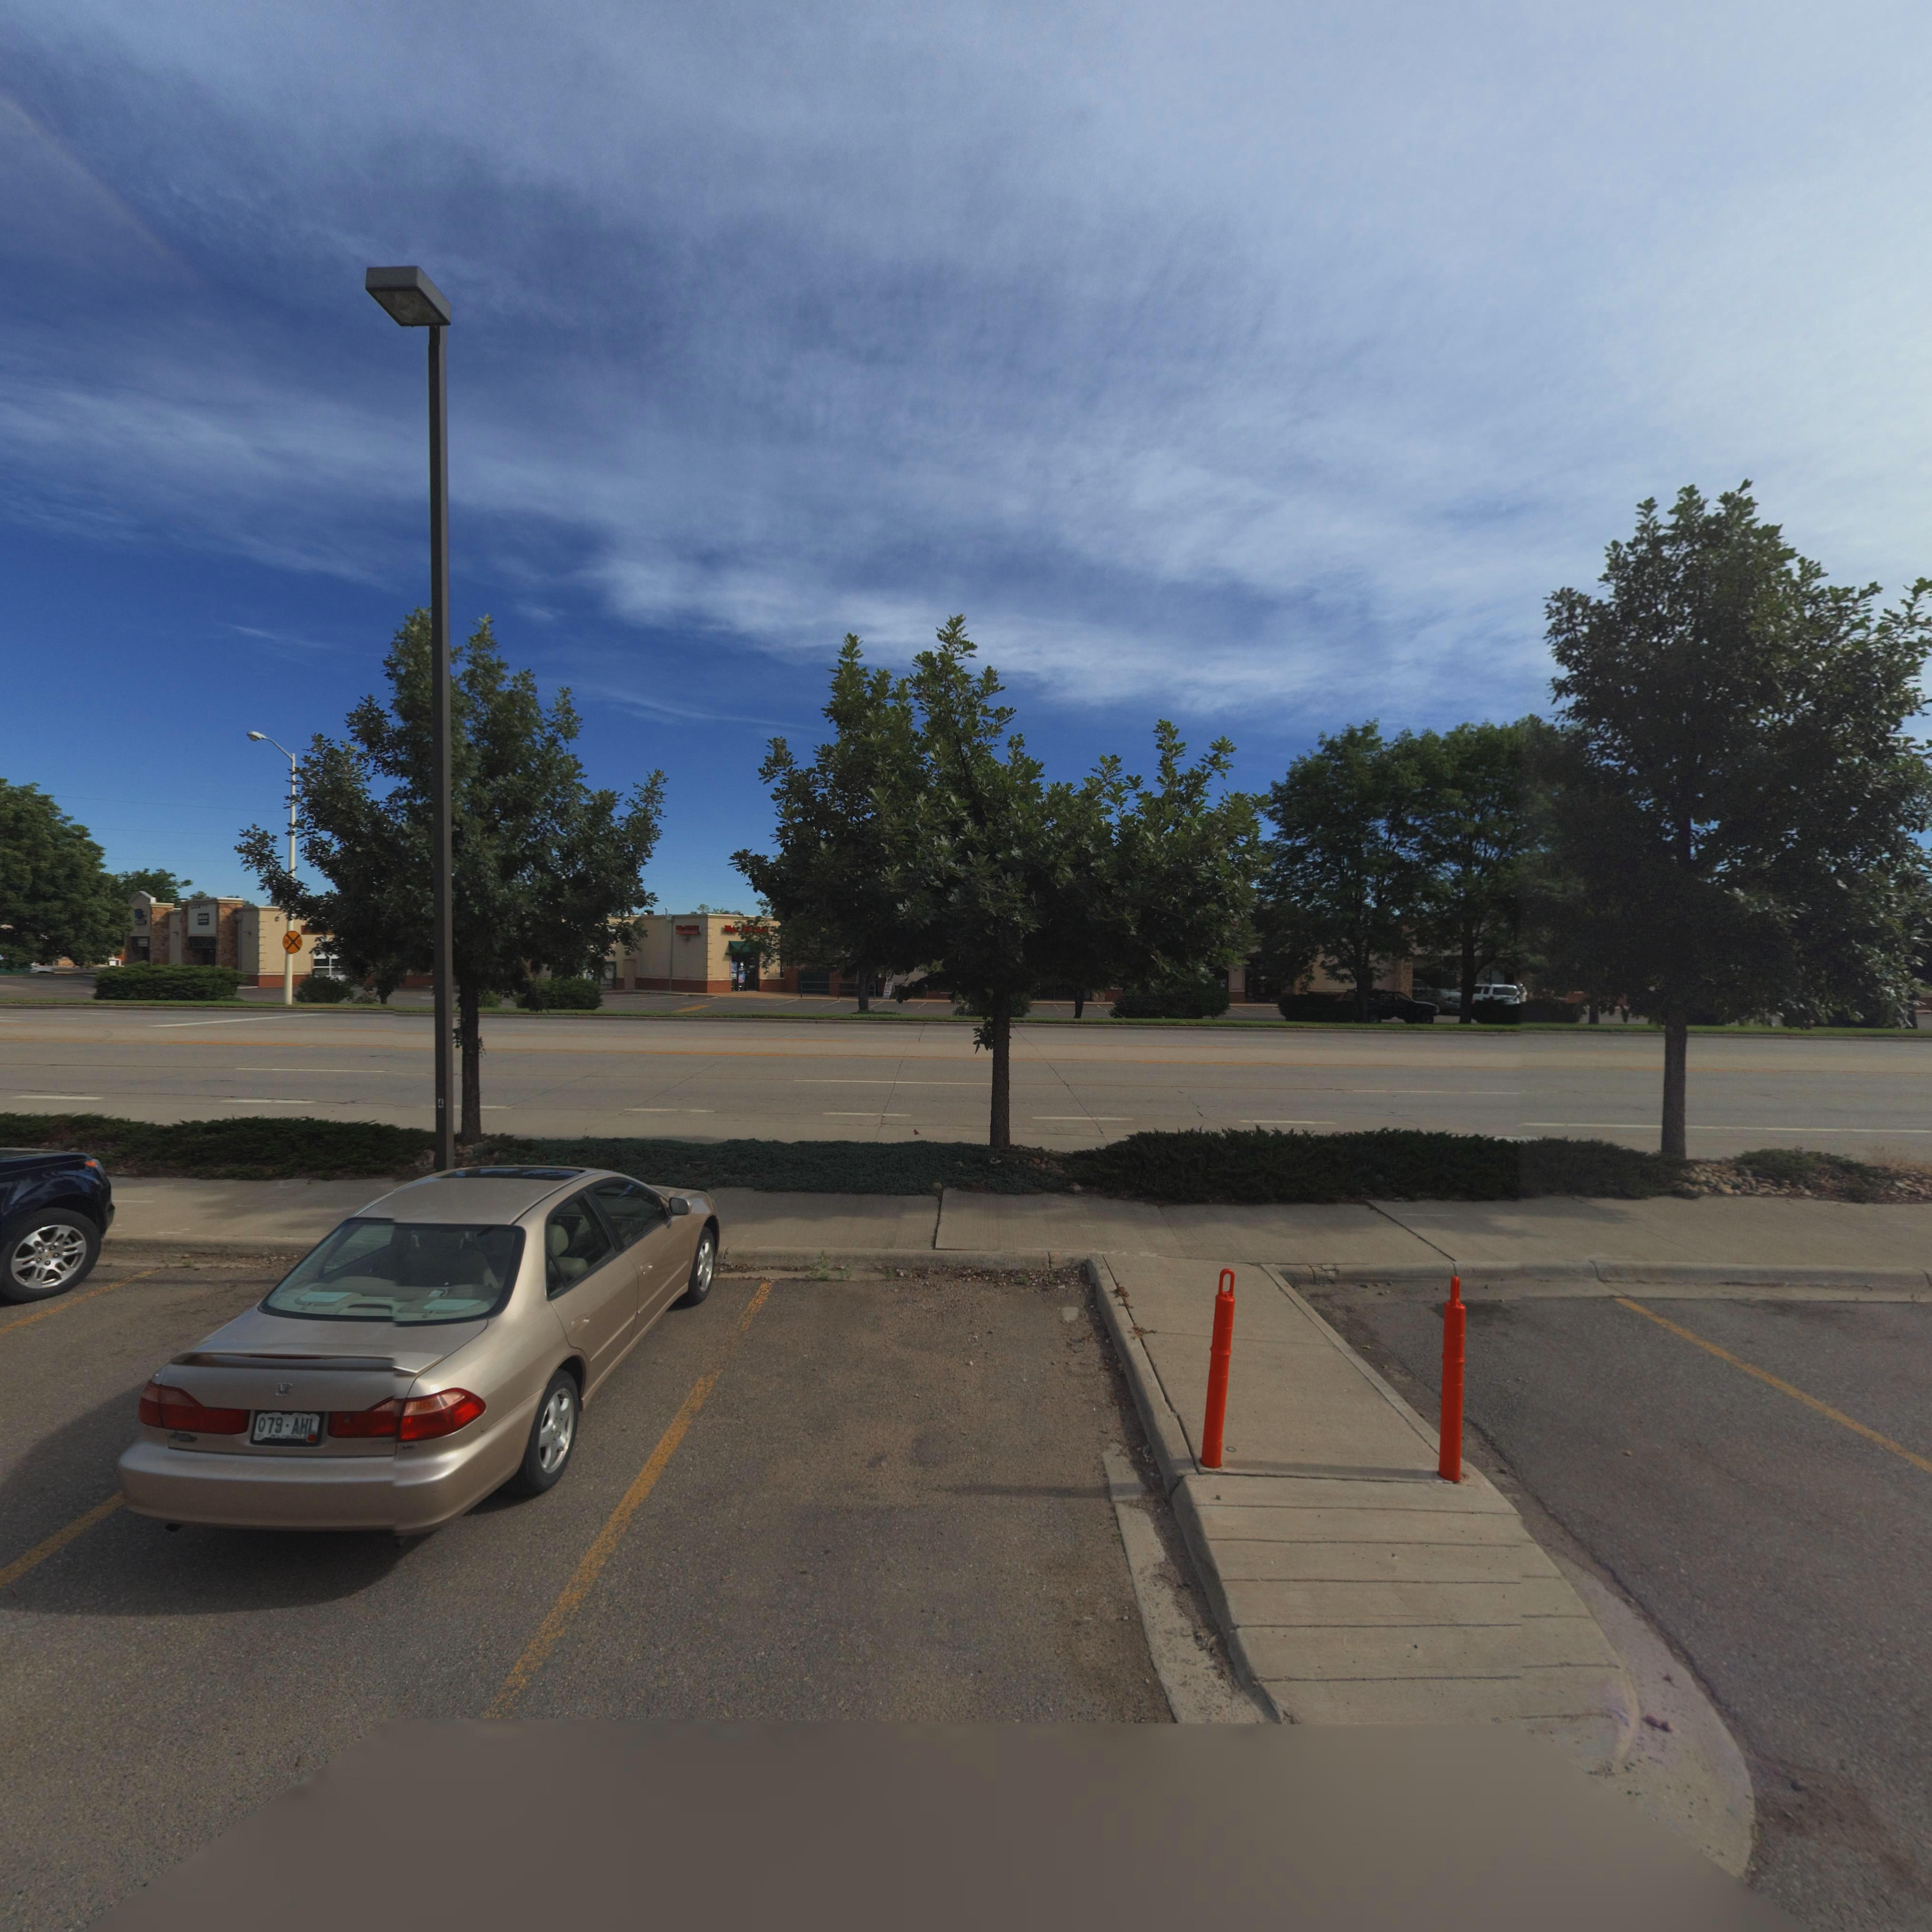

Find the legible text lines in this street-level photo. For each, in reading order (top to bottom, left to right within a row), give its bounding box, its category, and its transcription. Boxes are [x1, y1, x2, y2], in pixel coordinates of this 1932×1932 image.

[724, 925, 731, 931] BusinessName: M